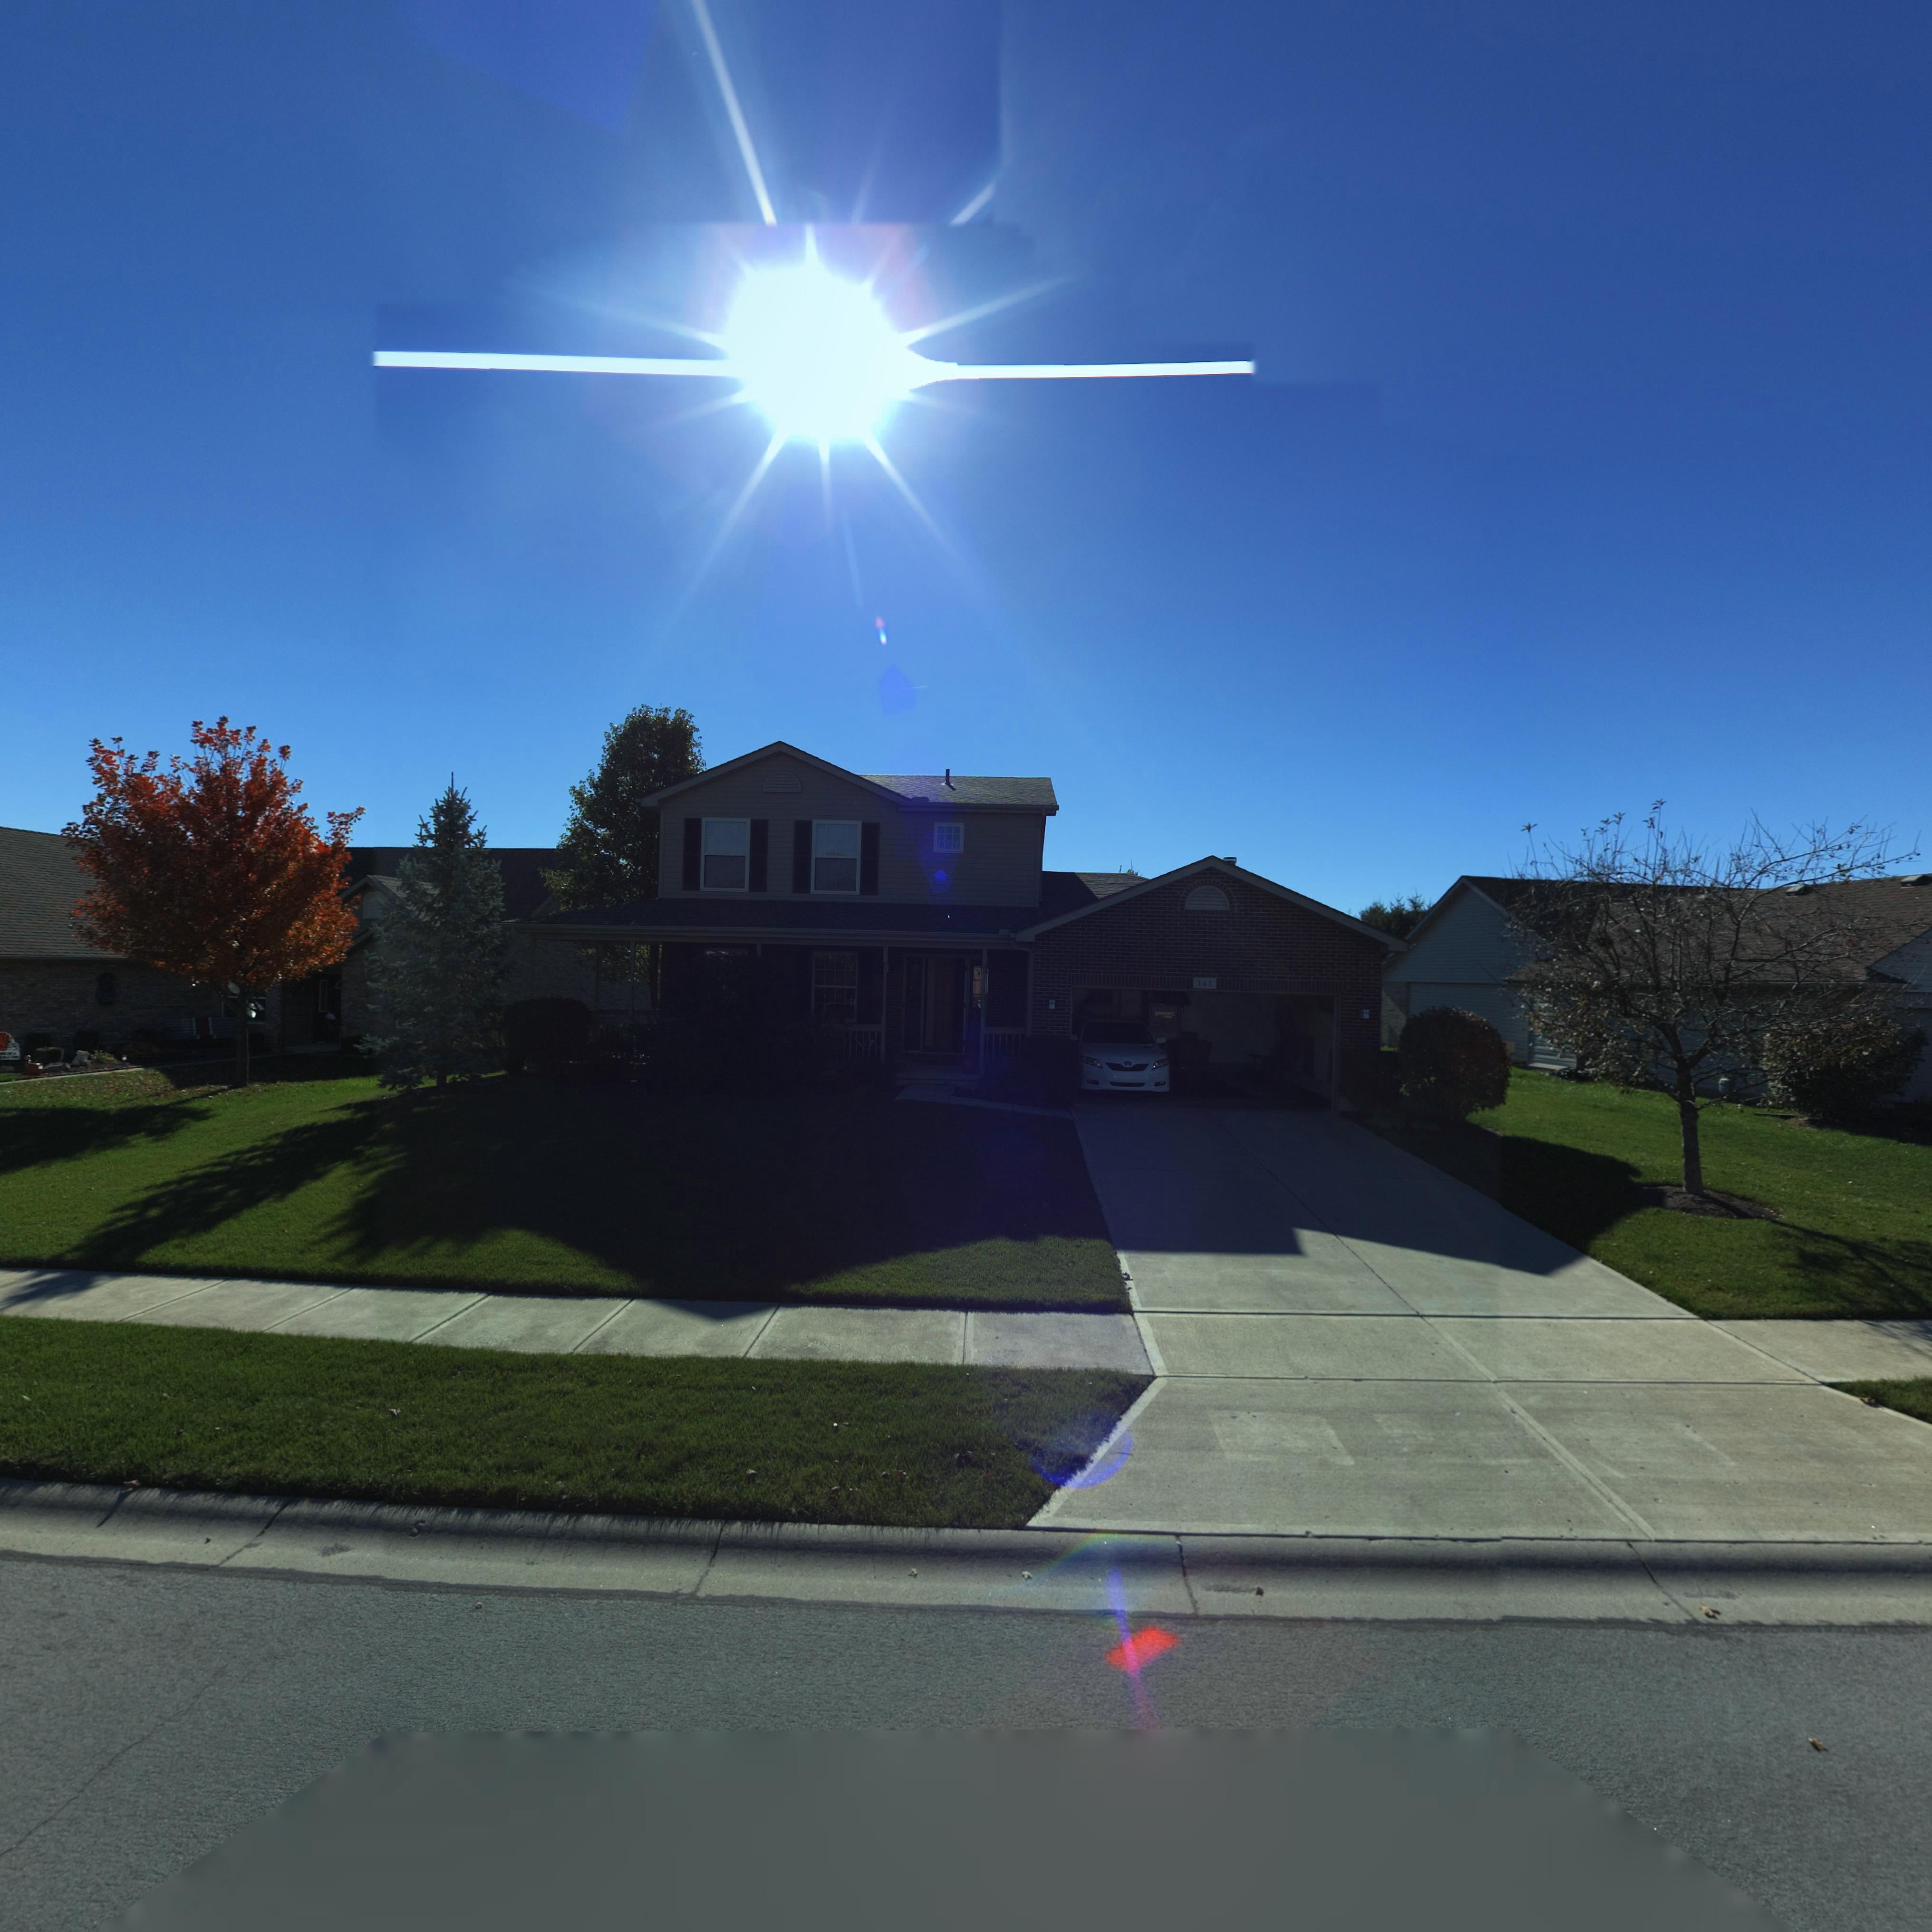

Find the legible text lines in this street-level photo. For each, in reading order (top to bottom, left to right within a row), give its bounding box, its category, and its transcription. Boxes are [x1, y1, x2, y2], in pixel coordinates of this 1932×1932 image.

[1198, 979, 1212, 987] StreetNumber: 143